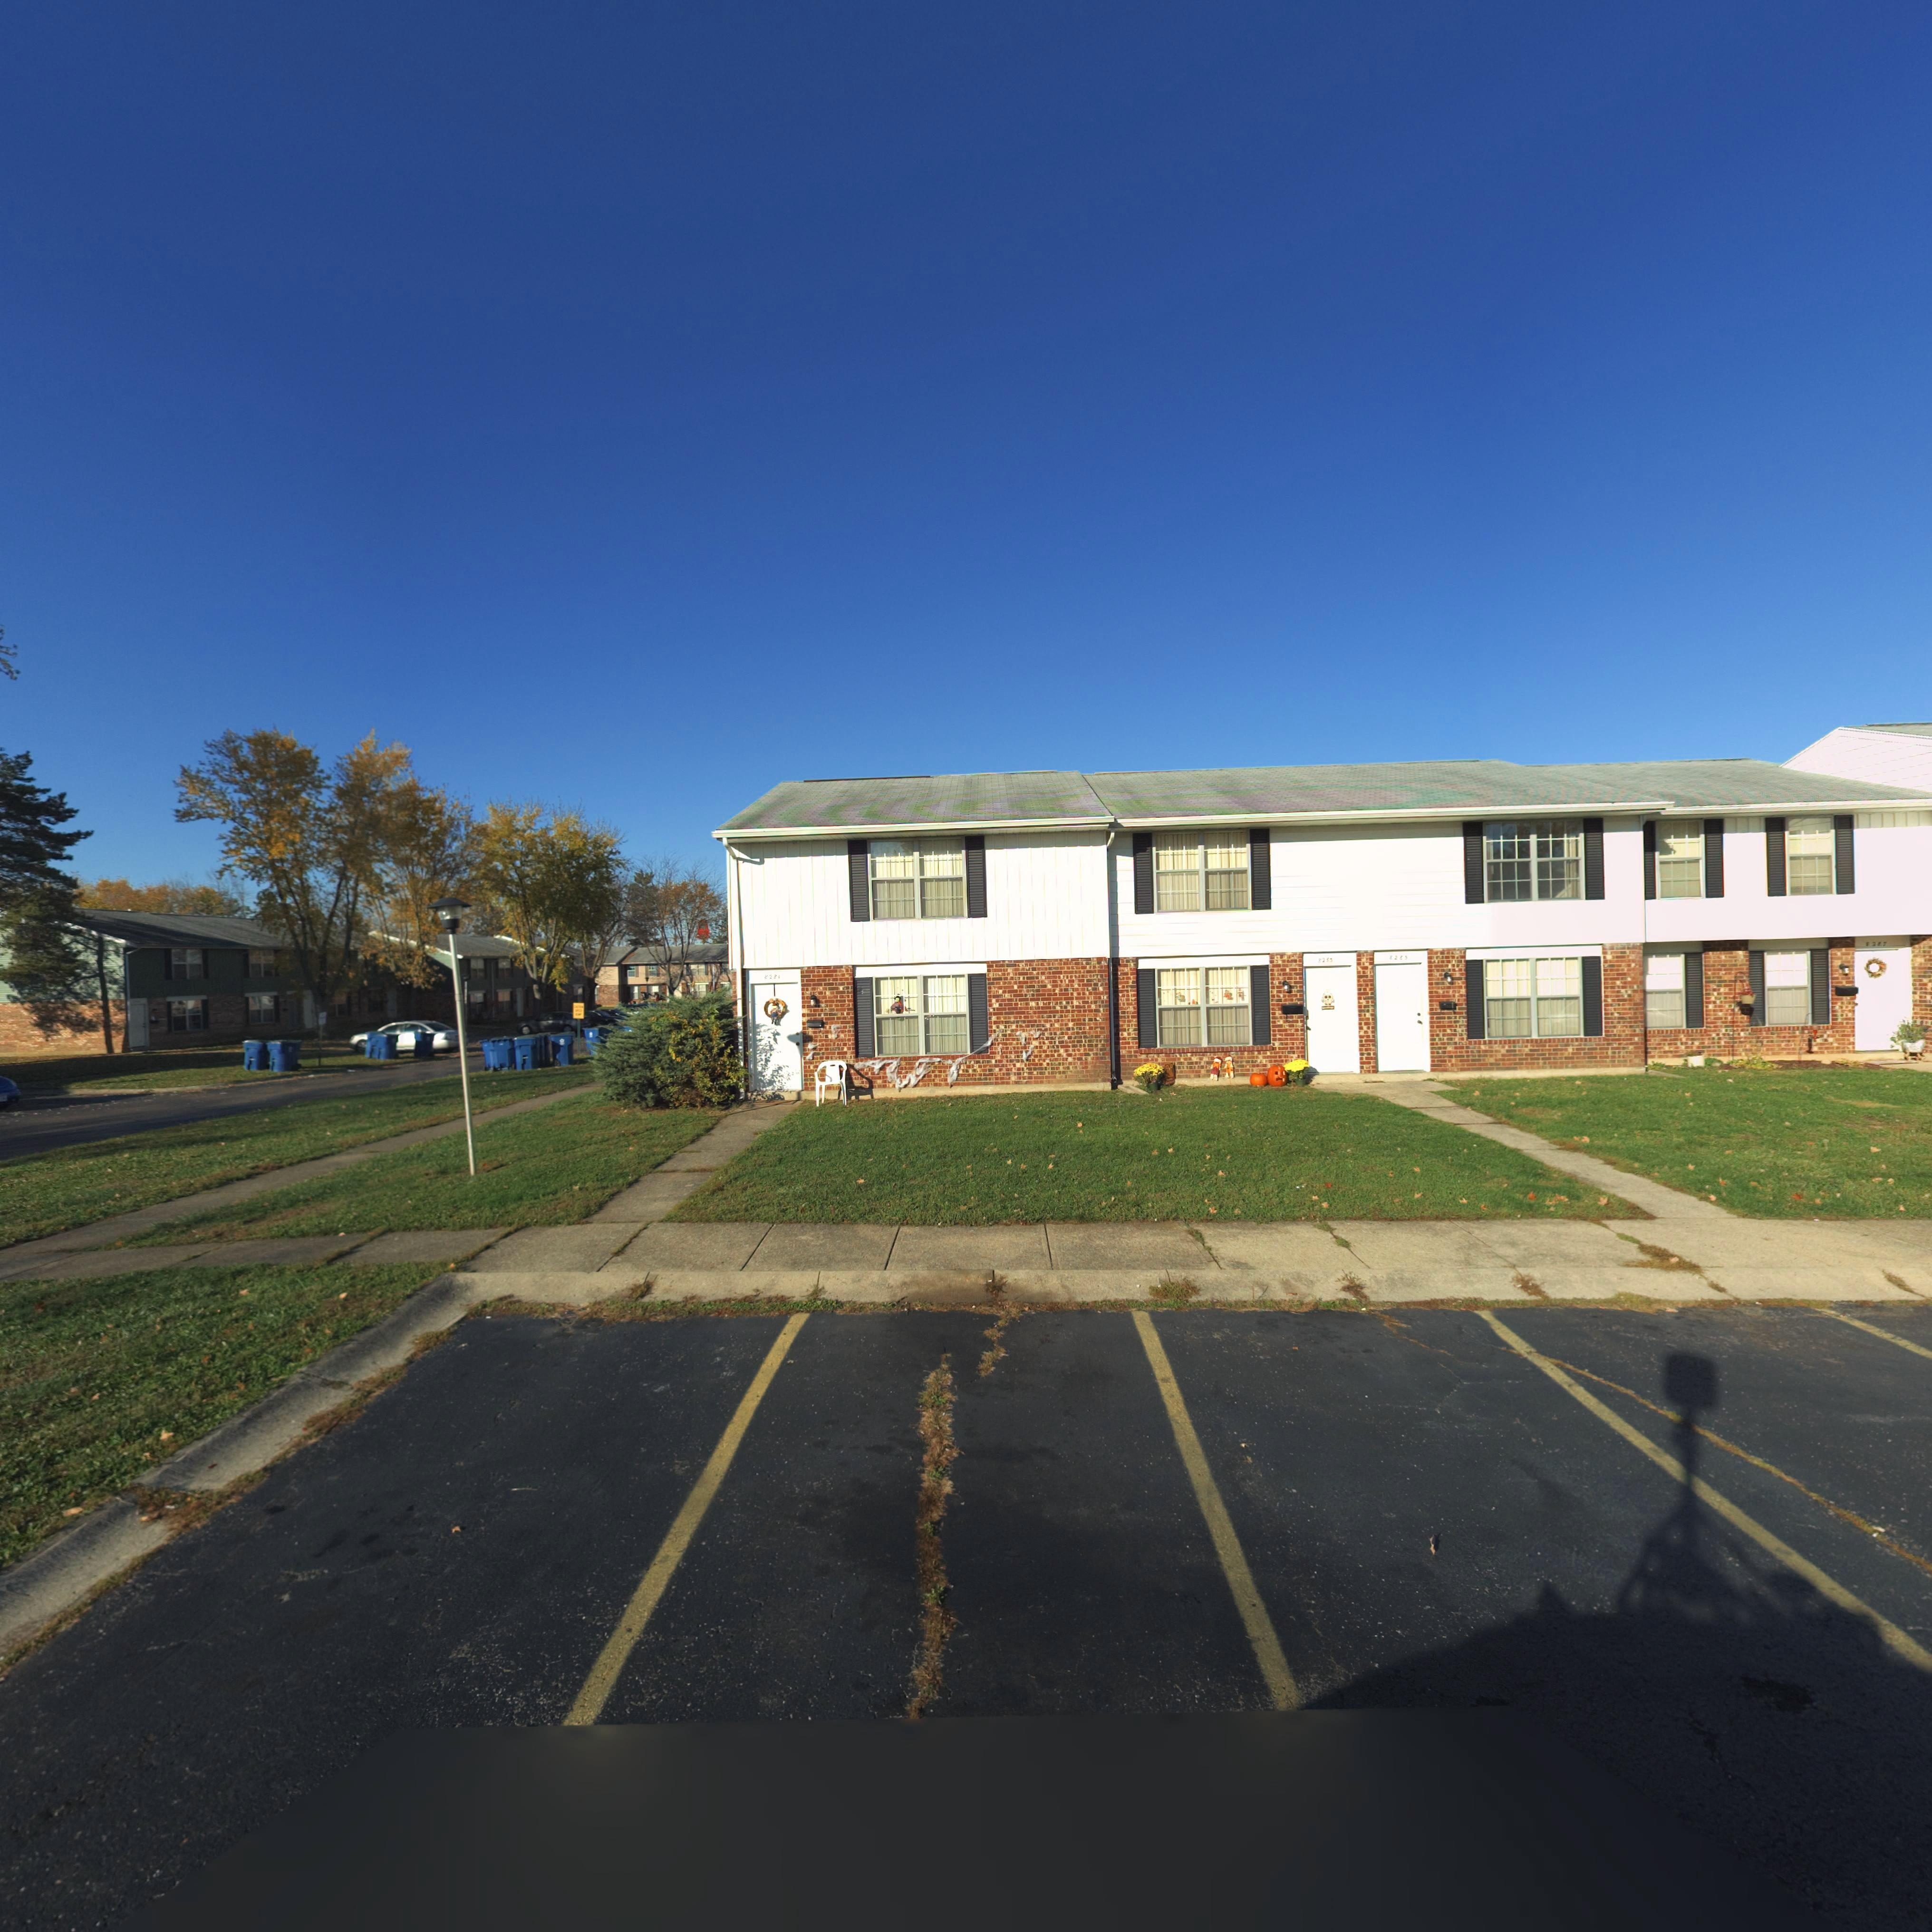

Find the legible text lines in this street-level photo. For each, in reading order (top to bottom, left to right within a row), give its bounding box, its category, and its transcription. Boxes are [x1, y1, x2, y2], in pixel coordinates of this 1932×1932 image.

[1865, 941, 1888, 947] StreetNumber: 8287
[1318, 957, 1333, 963] StreetNumber: 8283
[1389, 954, 1408, 961] StreetNumber: 8285
[764, 974, 781, 979] StreetNumber: 8281